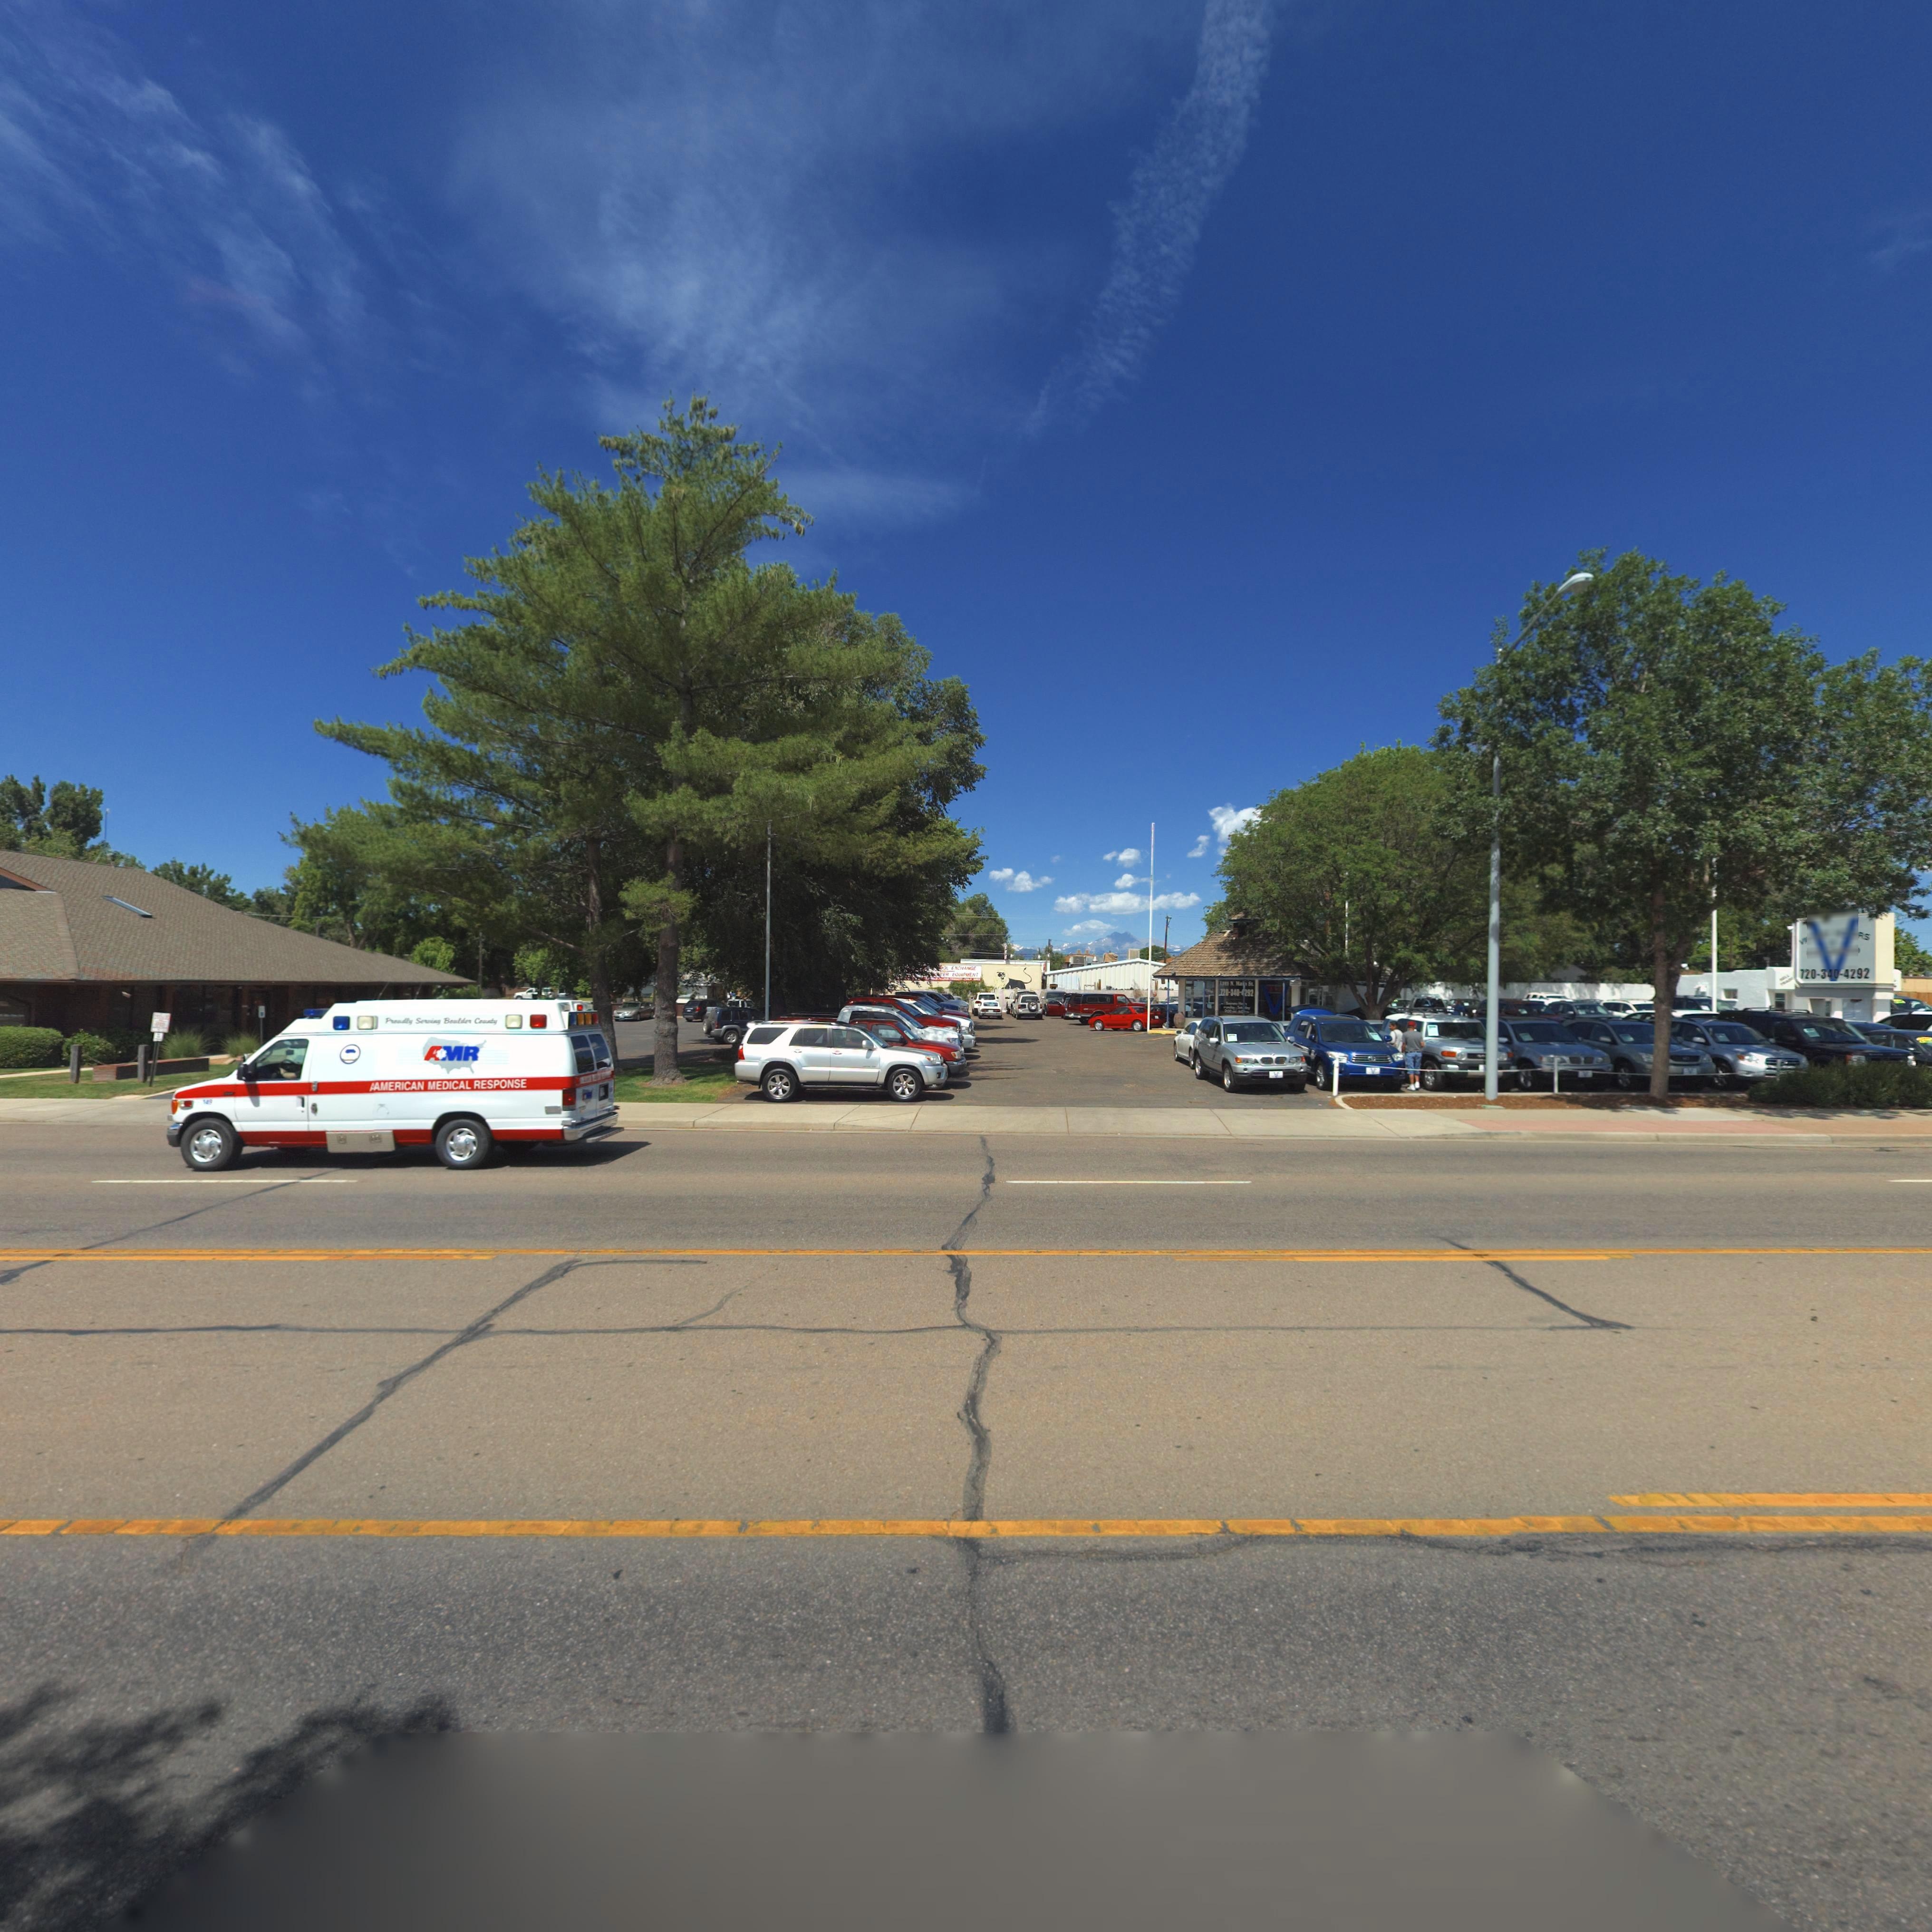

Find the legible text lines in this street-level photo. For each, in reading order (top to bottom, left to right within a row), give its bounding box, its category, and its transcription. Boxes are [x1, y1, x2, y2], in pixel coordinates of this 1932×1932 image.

[1798, 929, 1871, 945] BusinessName: VICTORY MOTORS
[1827, 940, 1838, 946] BusinessName: OF
[1806, 947, 1861, 956] BusinessName: COLORADO
[1219, 981, 1229, 985] StreetNumber: 1***
[1229, 980, 1255, 986] StreetName: *. Main St.